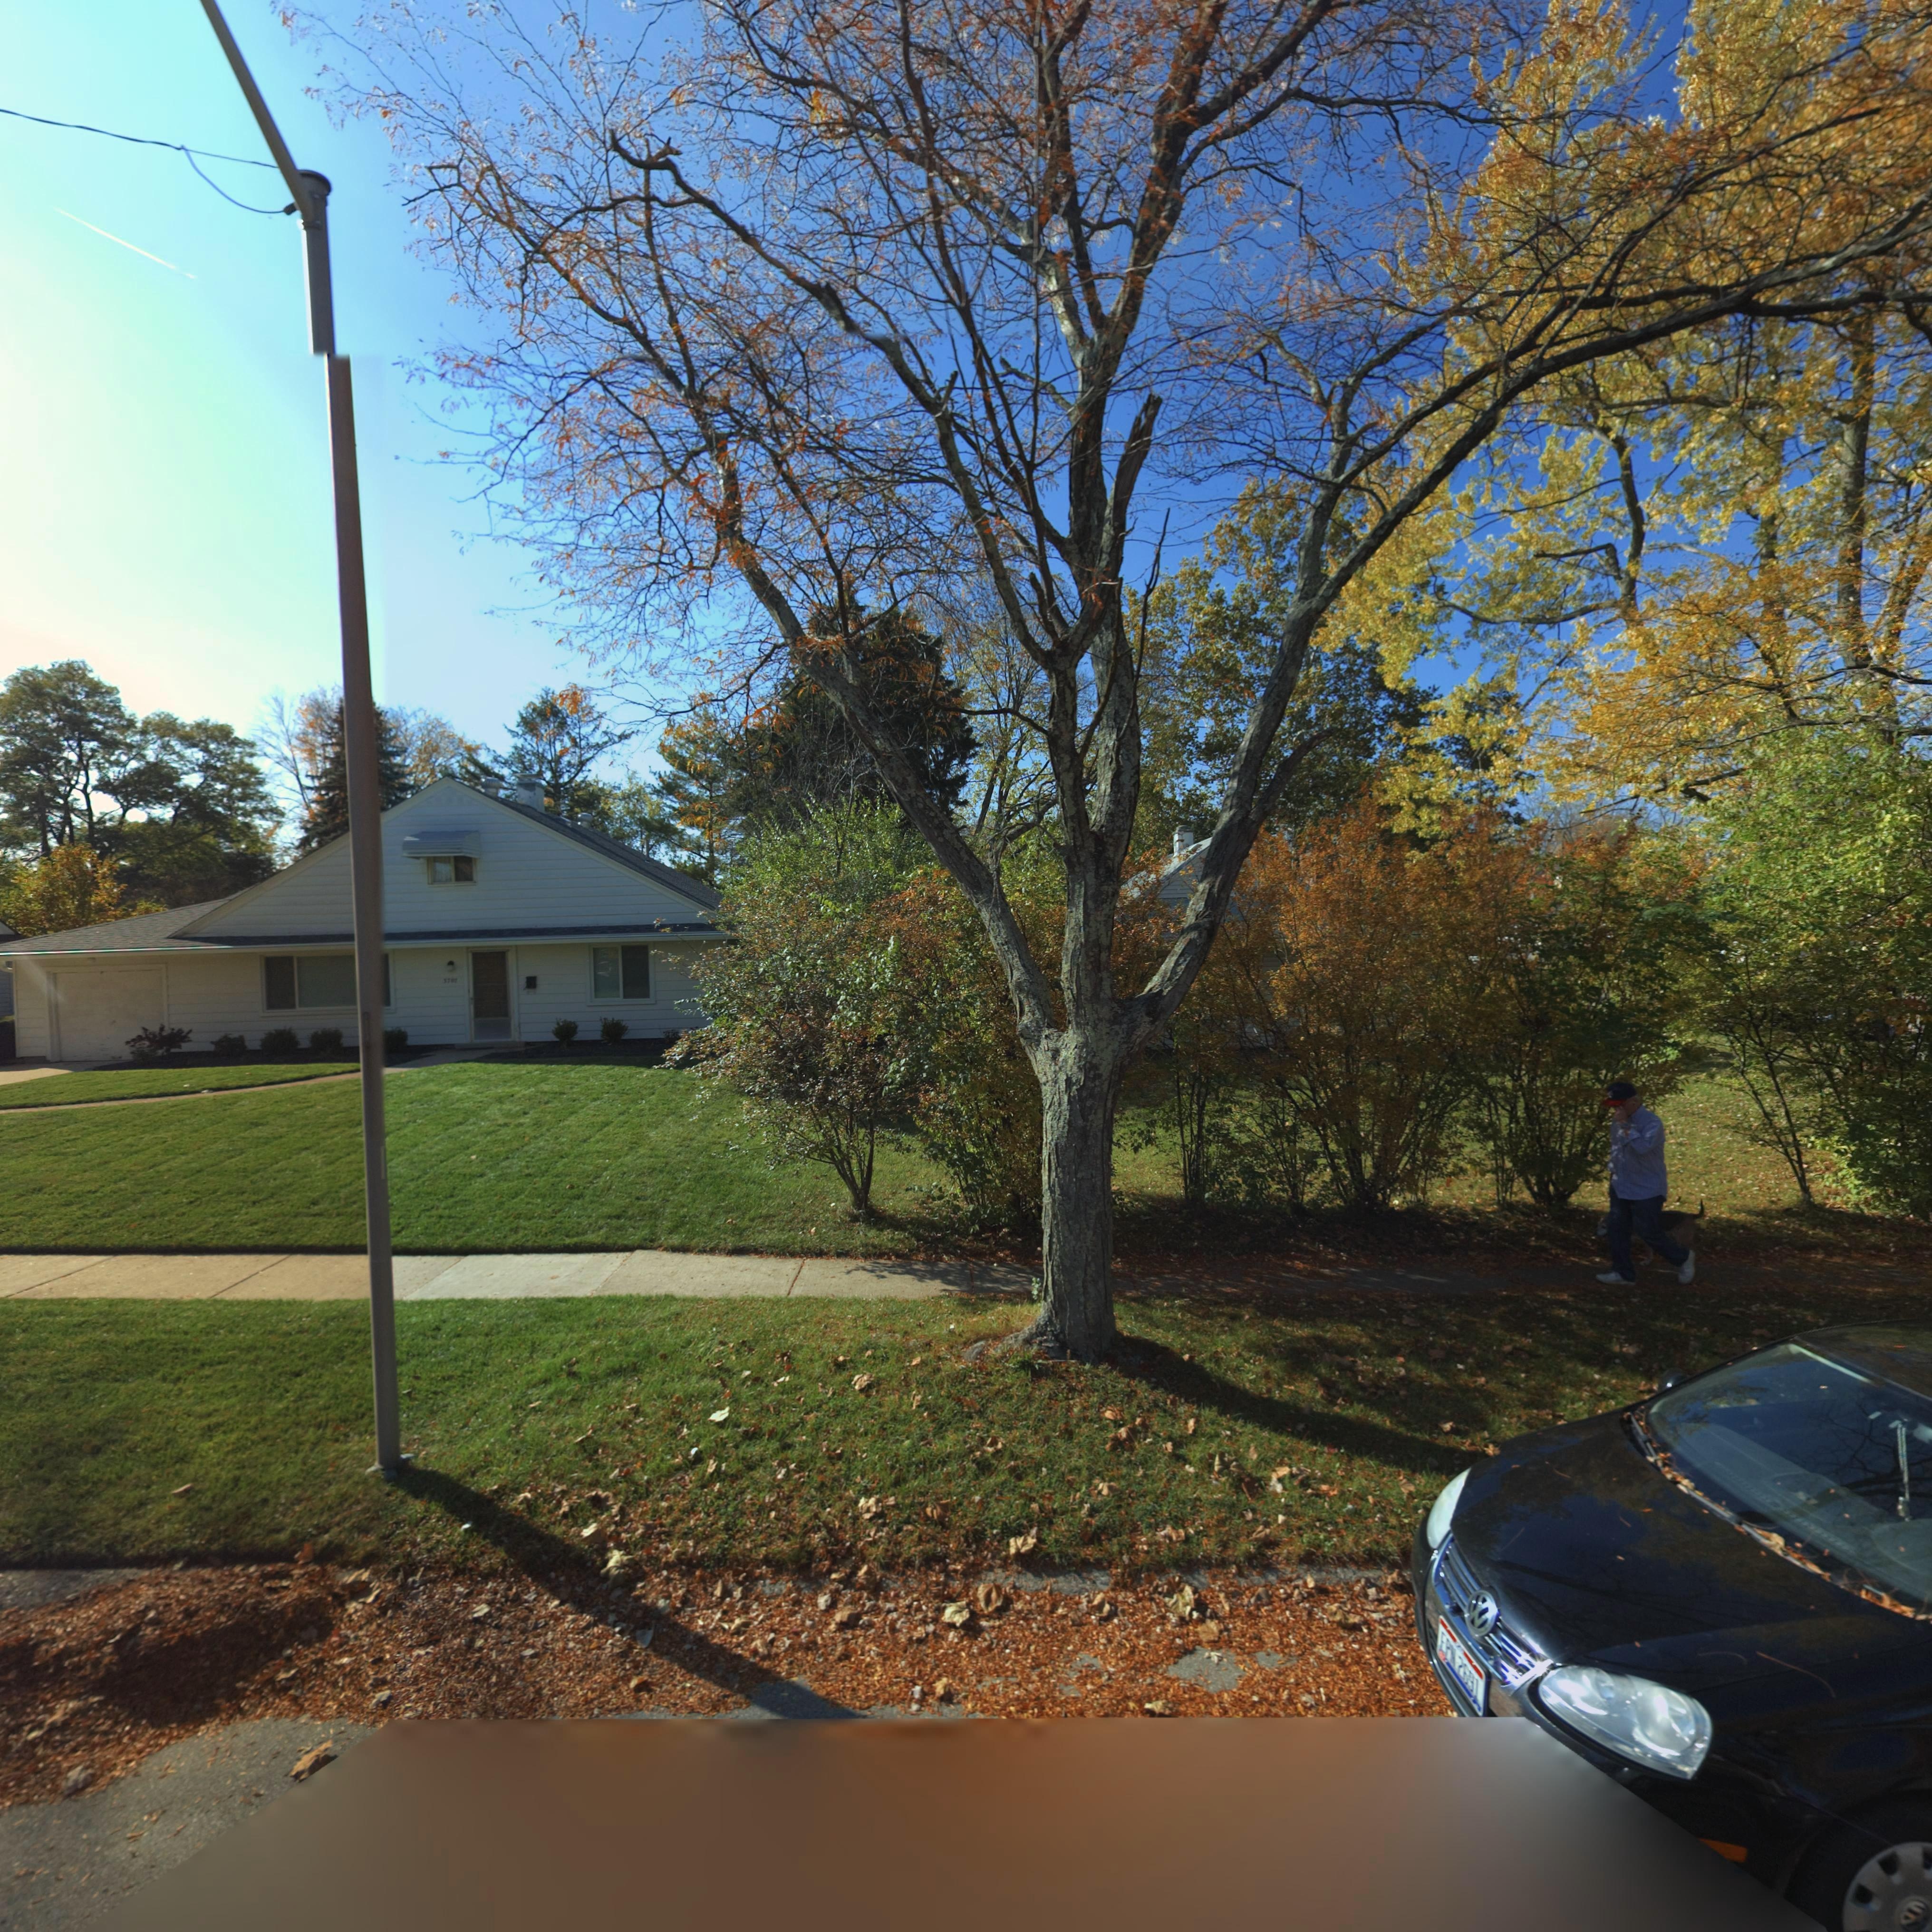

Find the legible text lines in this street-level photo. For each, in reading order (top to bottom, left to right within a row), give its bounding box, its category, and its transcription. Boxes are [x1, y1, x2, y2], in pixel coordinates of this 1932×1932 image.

[442, 978, 459, 984] StreetNumber: 3707
[1439, 1630, 1480, 1704] None: EPN*2691